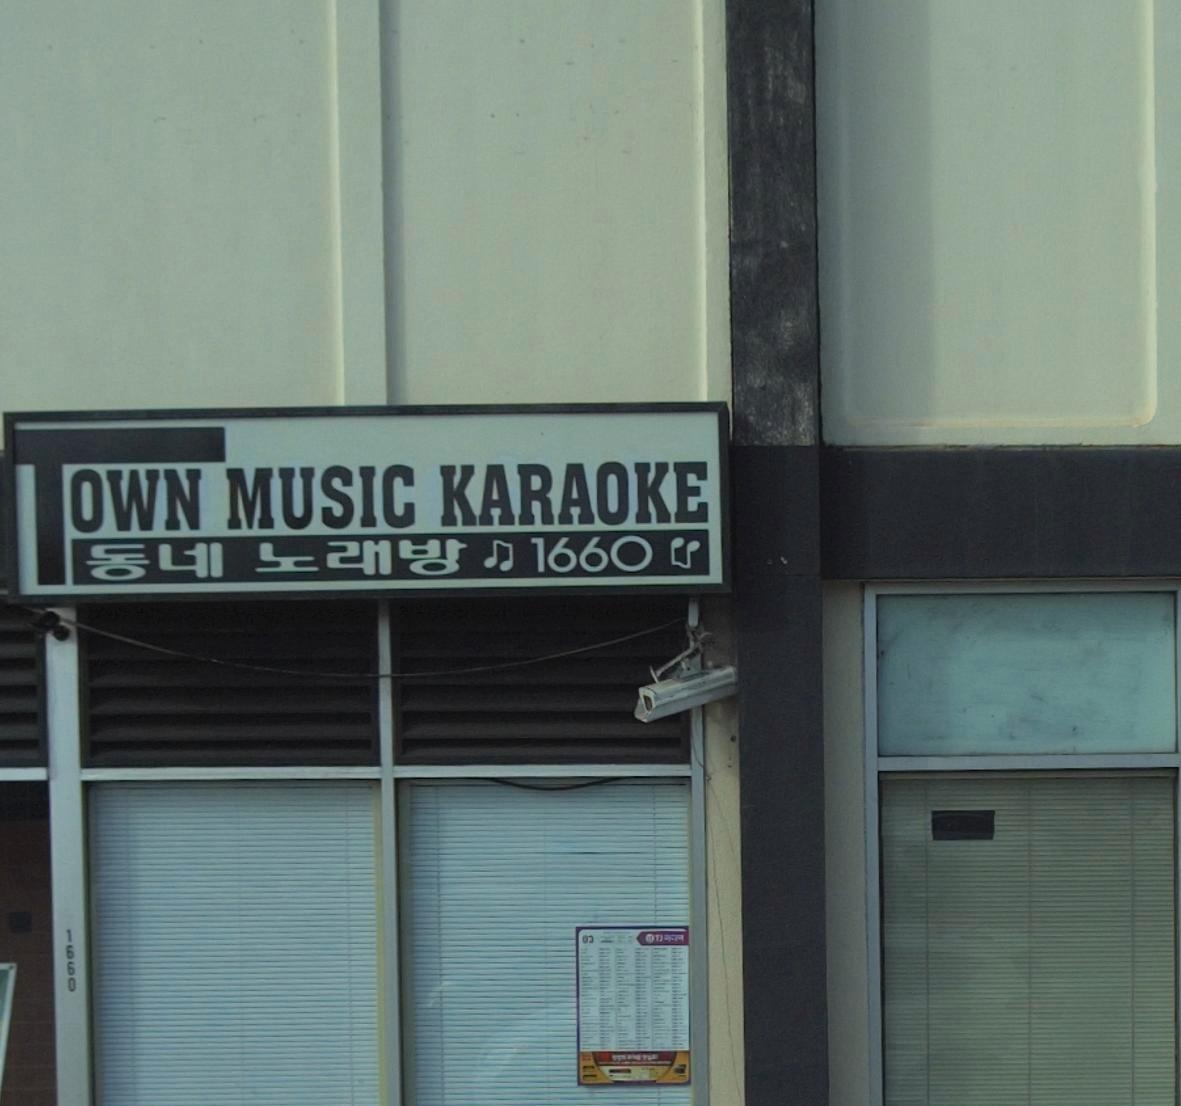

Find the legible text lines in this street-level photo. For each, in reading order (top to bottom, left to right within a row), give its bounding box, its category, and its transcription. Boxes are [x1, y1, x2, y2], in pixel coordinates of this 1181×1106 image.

[4, 416, 714, 595] BusinessName: TOWN MUSIC KARAOKE
[527, 533, 656, 576] StreetNumber: 1660
[63, 926, 79, 996] StreetNumber: 1660